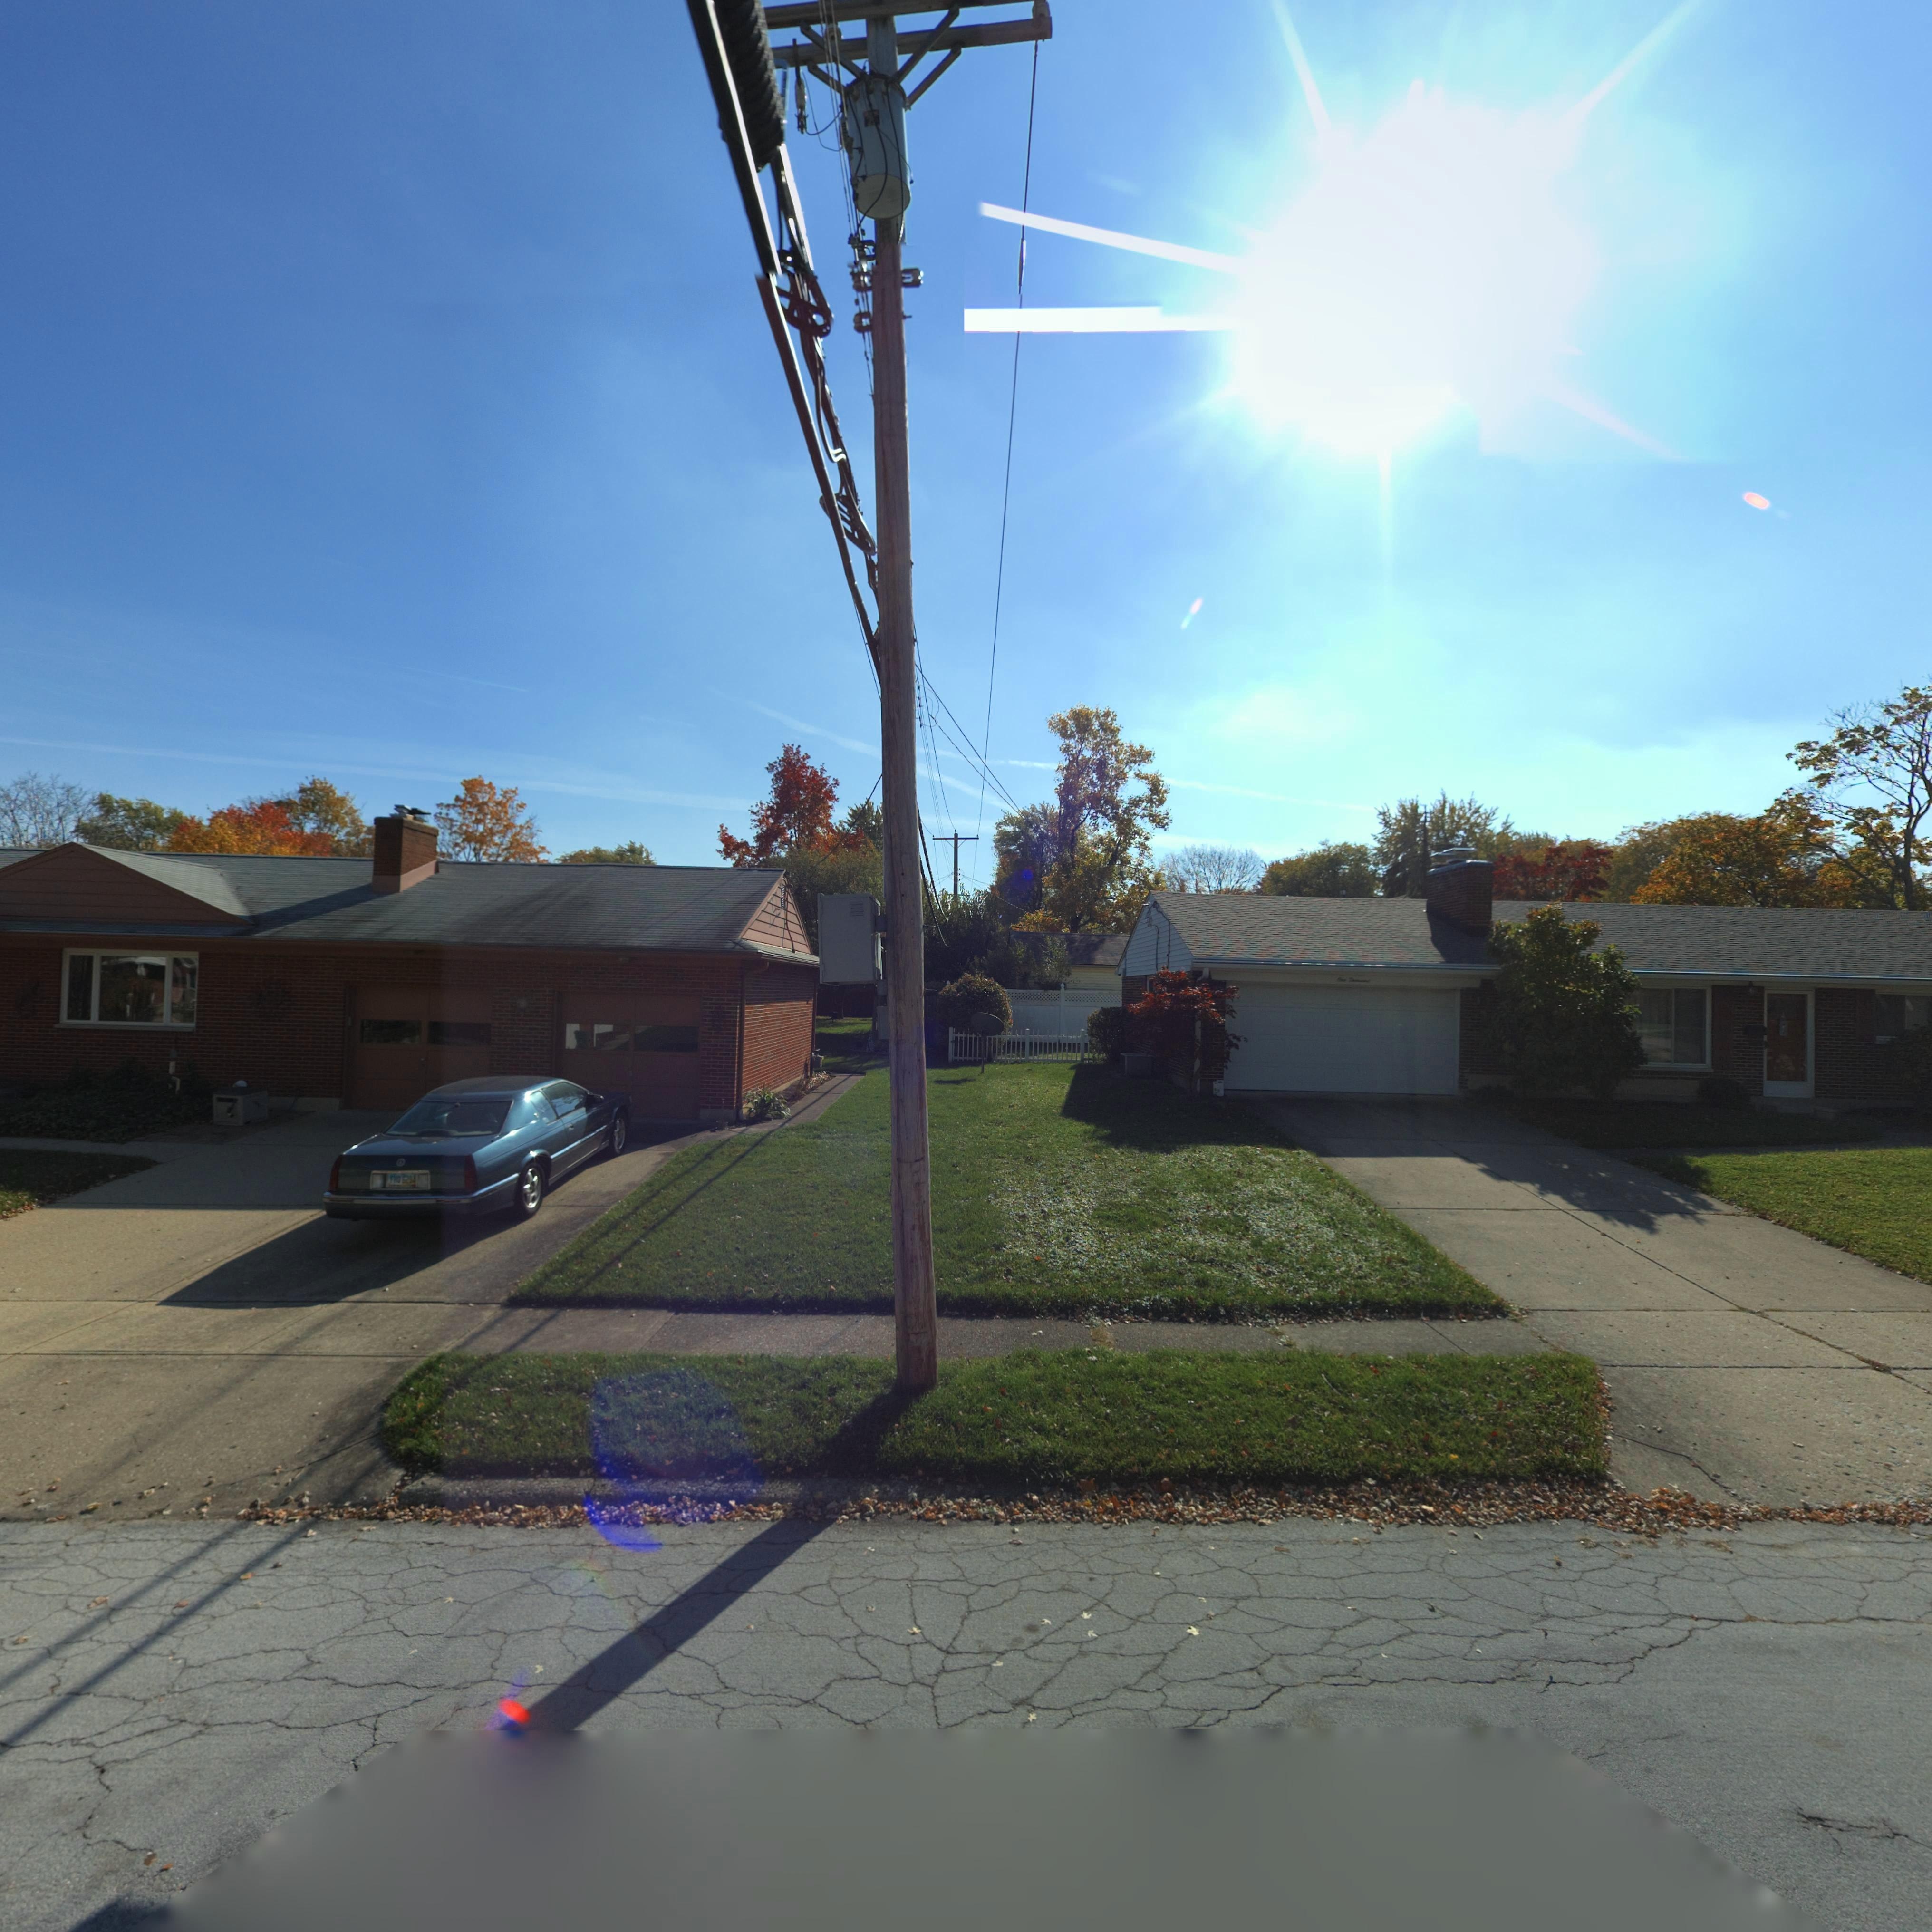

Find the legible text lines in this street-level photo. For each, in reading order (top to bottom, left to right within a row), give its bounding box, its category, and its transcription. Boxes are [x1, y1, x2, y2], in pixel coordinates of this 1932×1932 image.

[388, 1174, 417, 1184] None: F** 6294